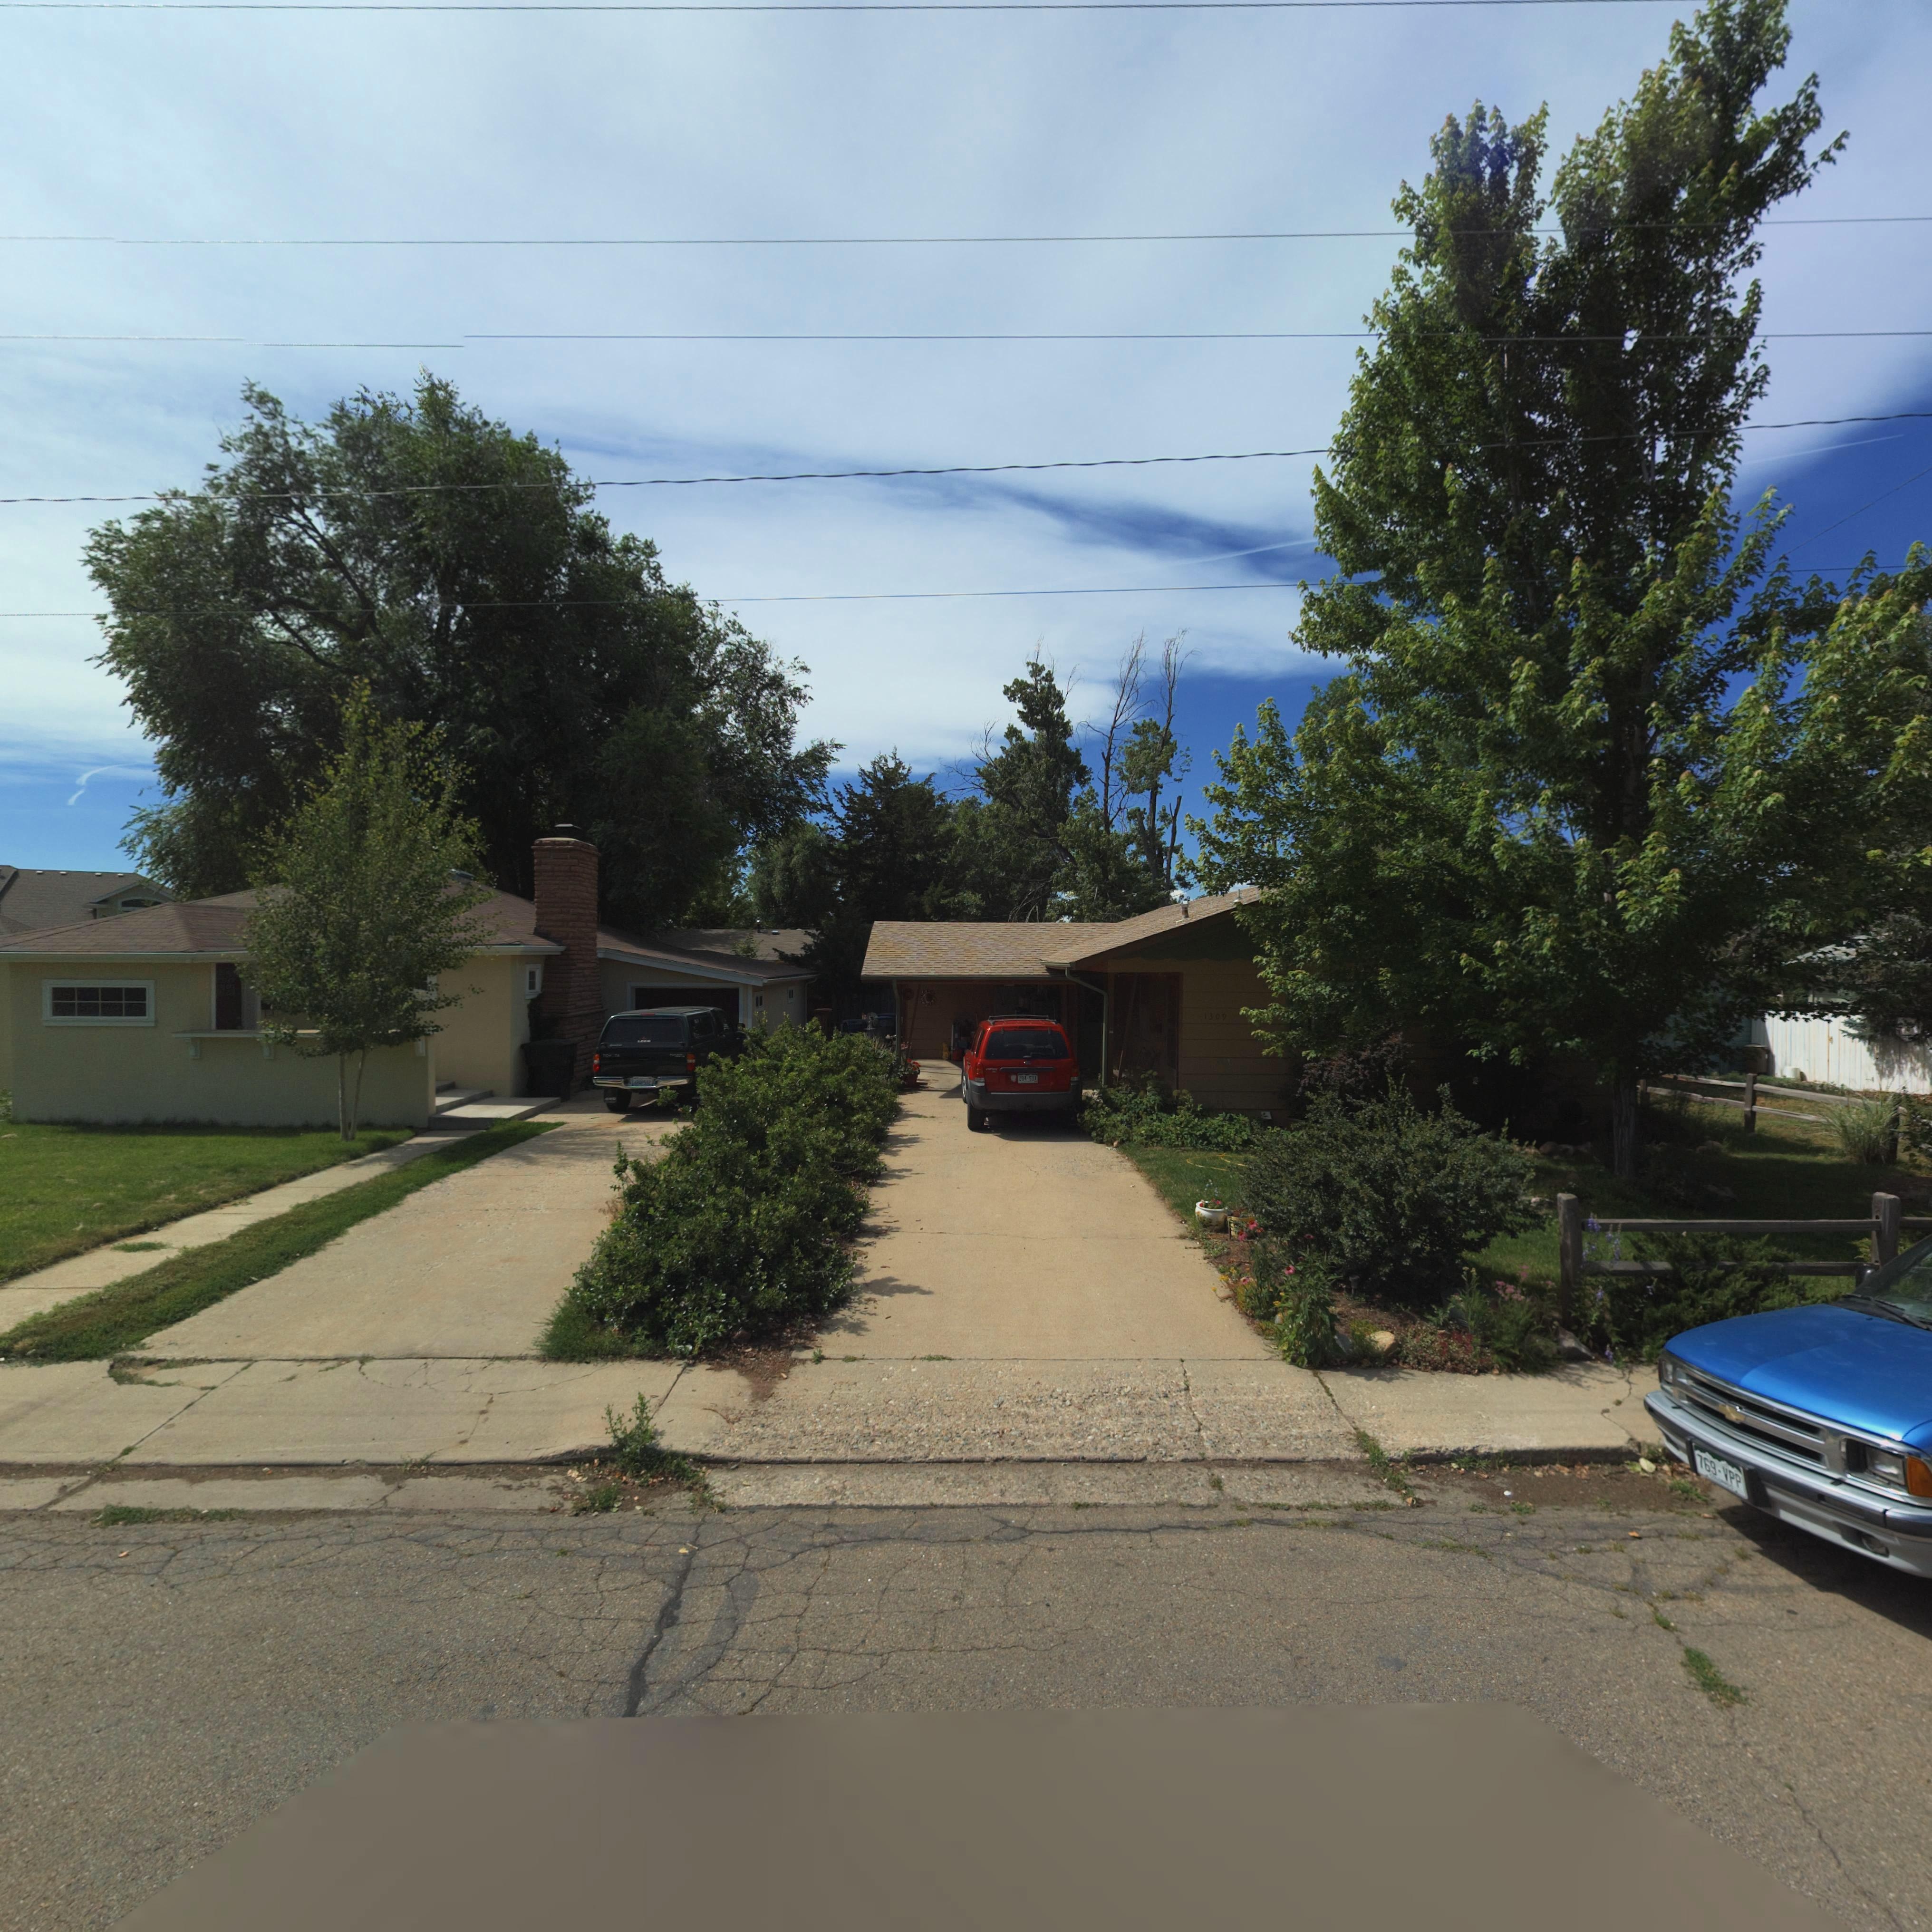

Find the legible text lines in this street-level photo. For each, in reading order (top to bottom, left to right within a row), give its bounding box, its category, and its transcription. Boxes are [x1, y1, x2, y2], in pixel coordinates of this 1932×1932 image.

[1204, 1013, 1227, 1021] StreetNumber: 1309